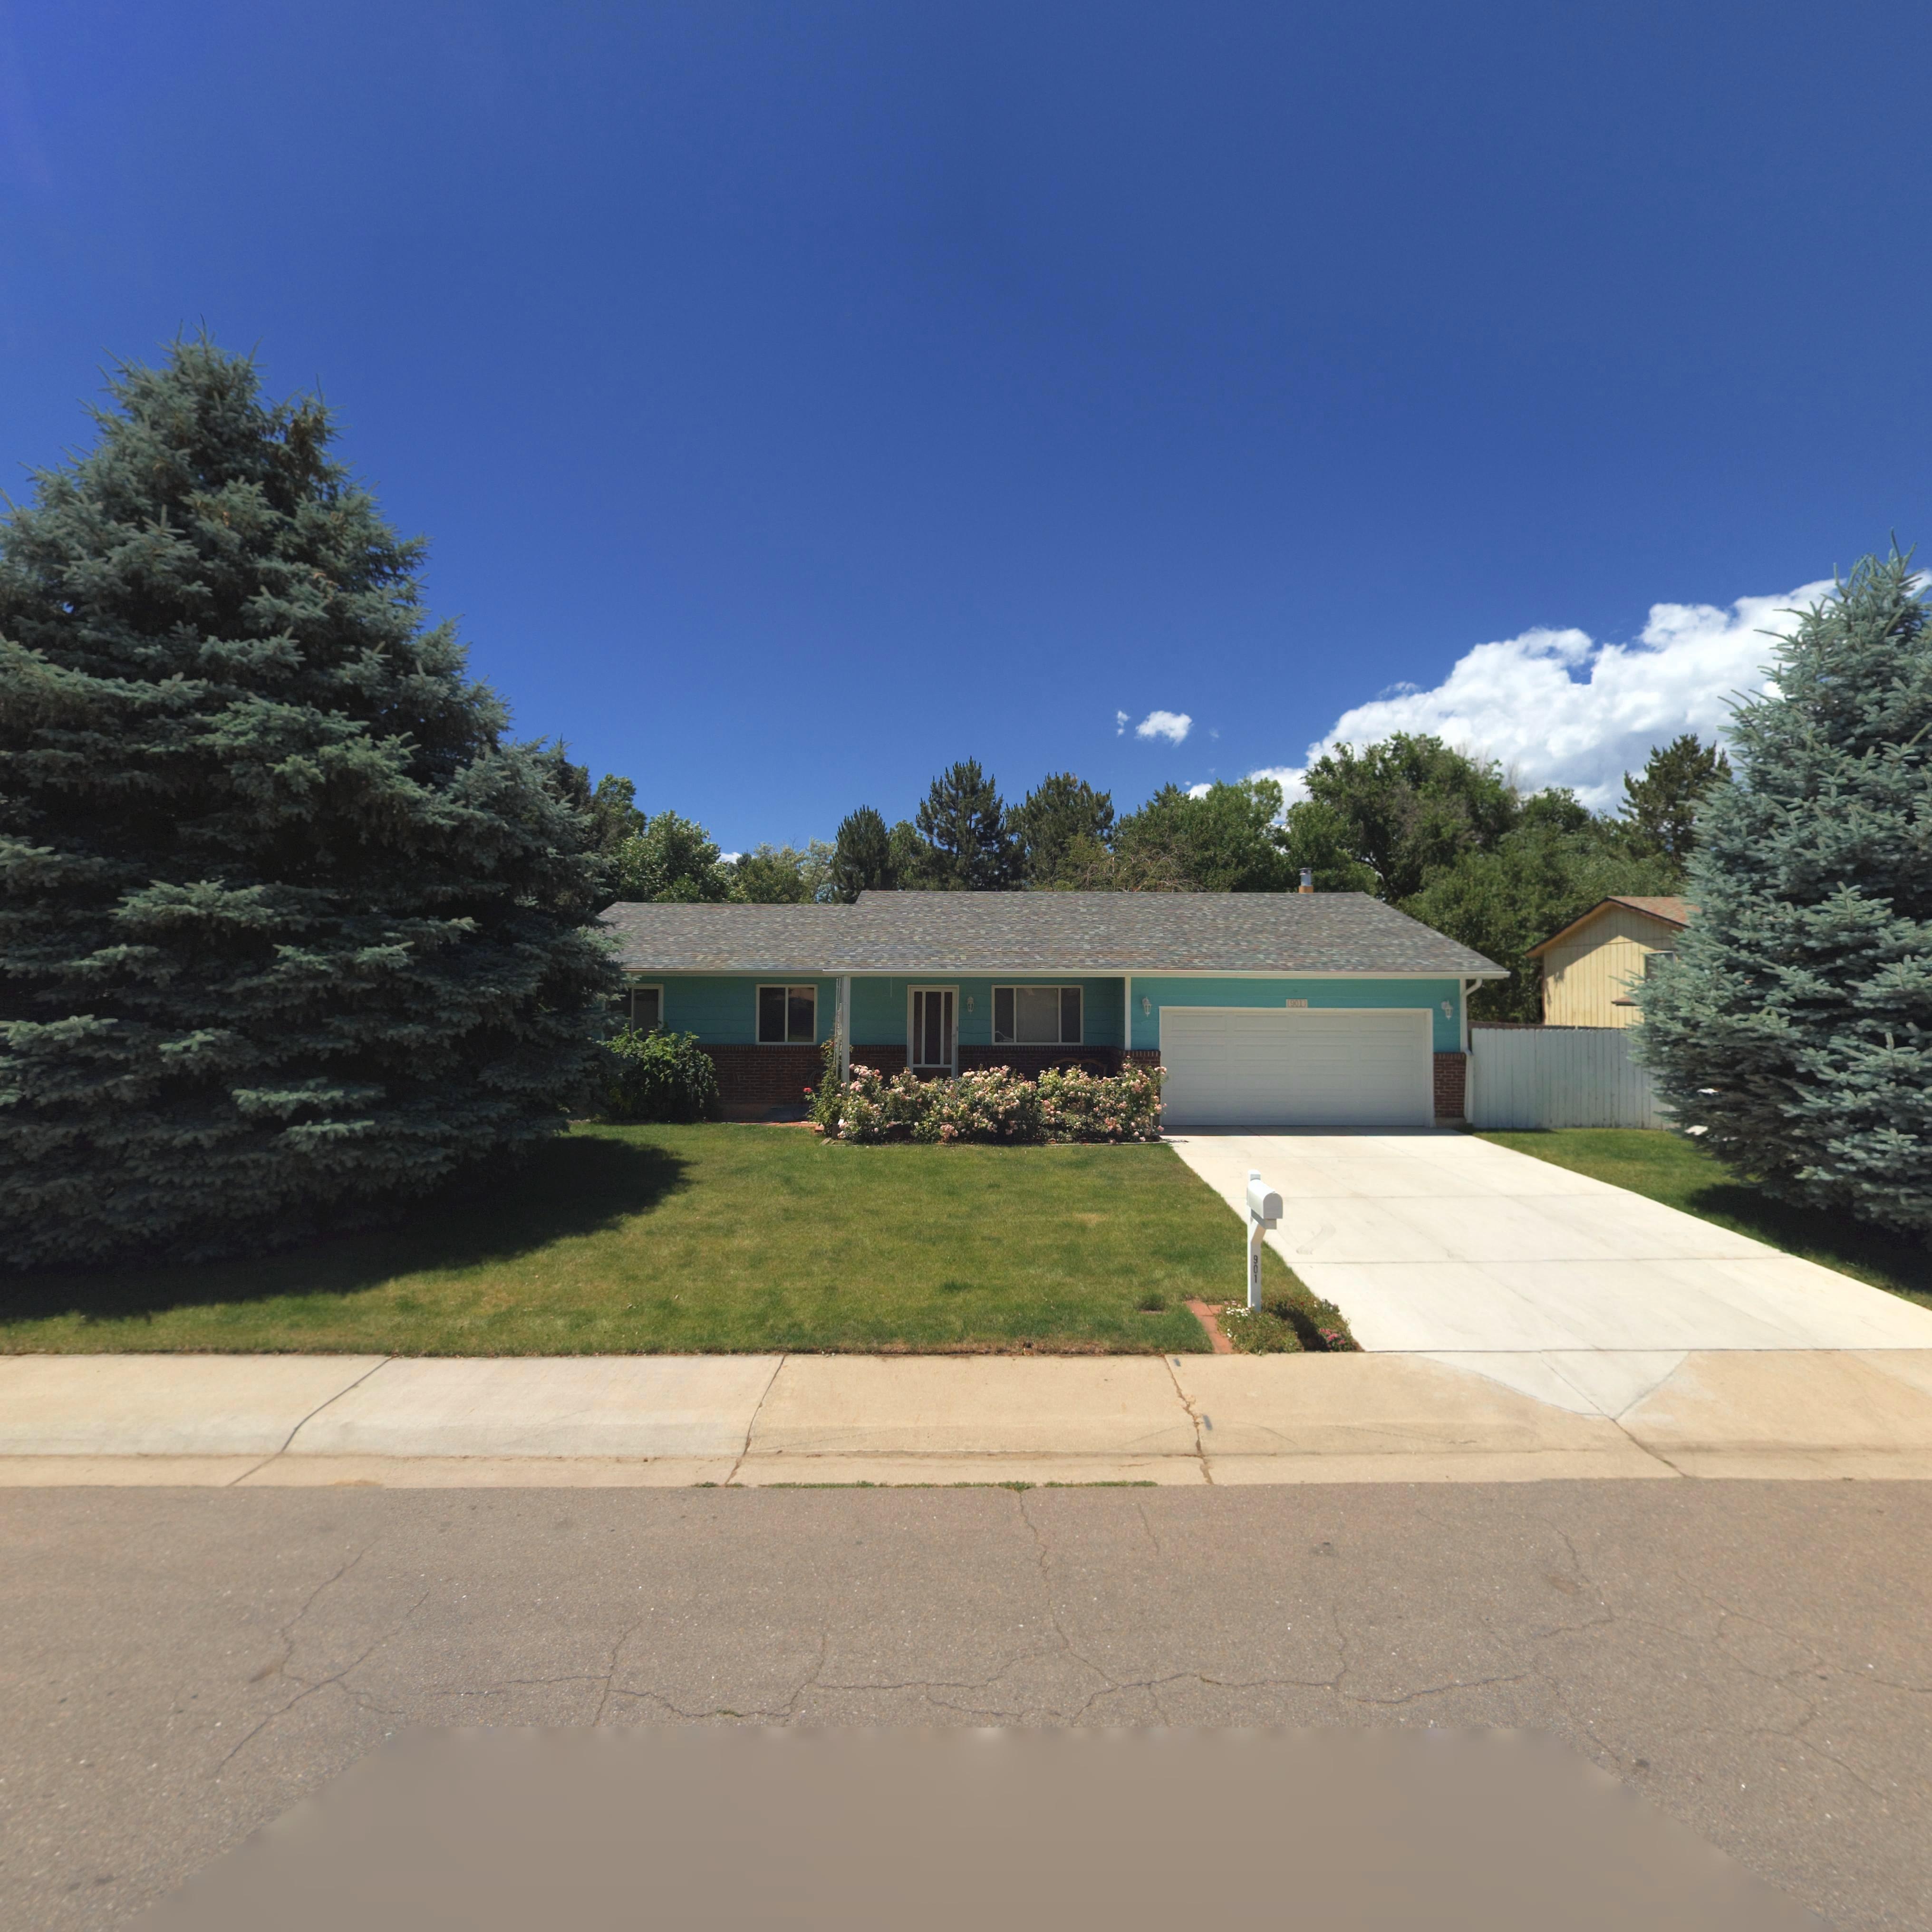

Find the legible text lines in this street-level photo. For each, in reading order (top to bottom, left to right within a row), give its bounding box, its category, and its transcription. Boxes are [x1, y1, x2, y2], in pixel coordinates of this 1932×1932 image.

[1289, 999, 1303, 1007] StreetNumber: 901
[1253, 1254, 1258, 1283] StreetNumber: 901